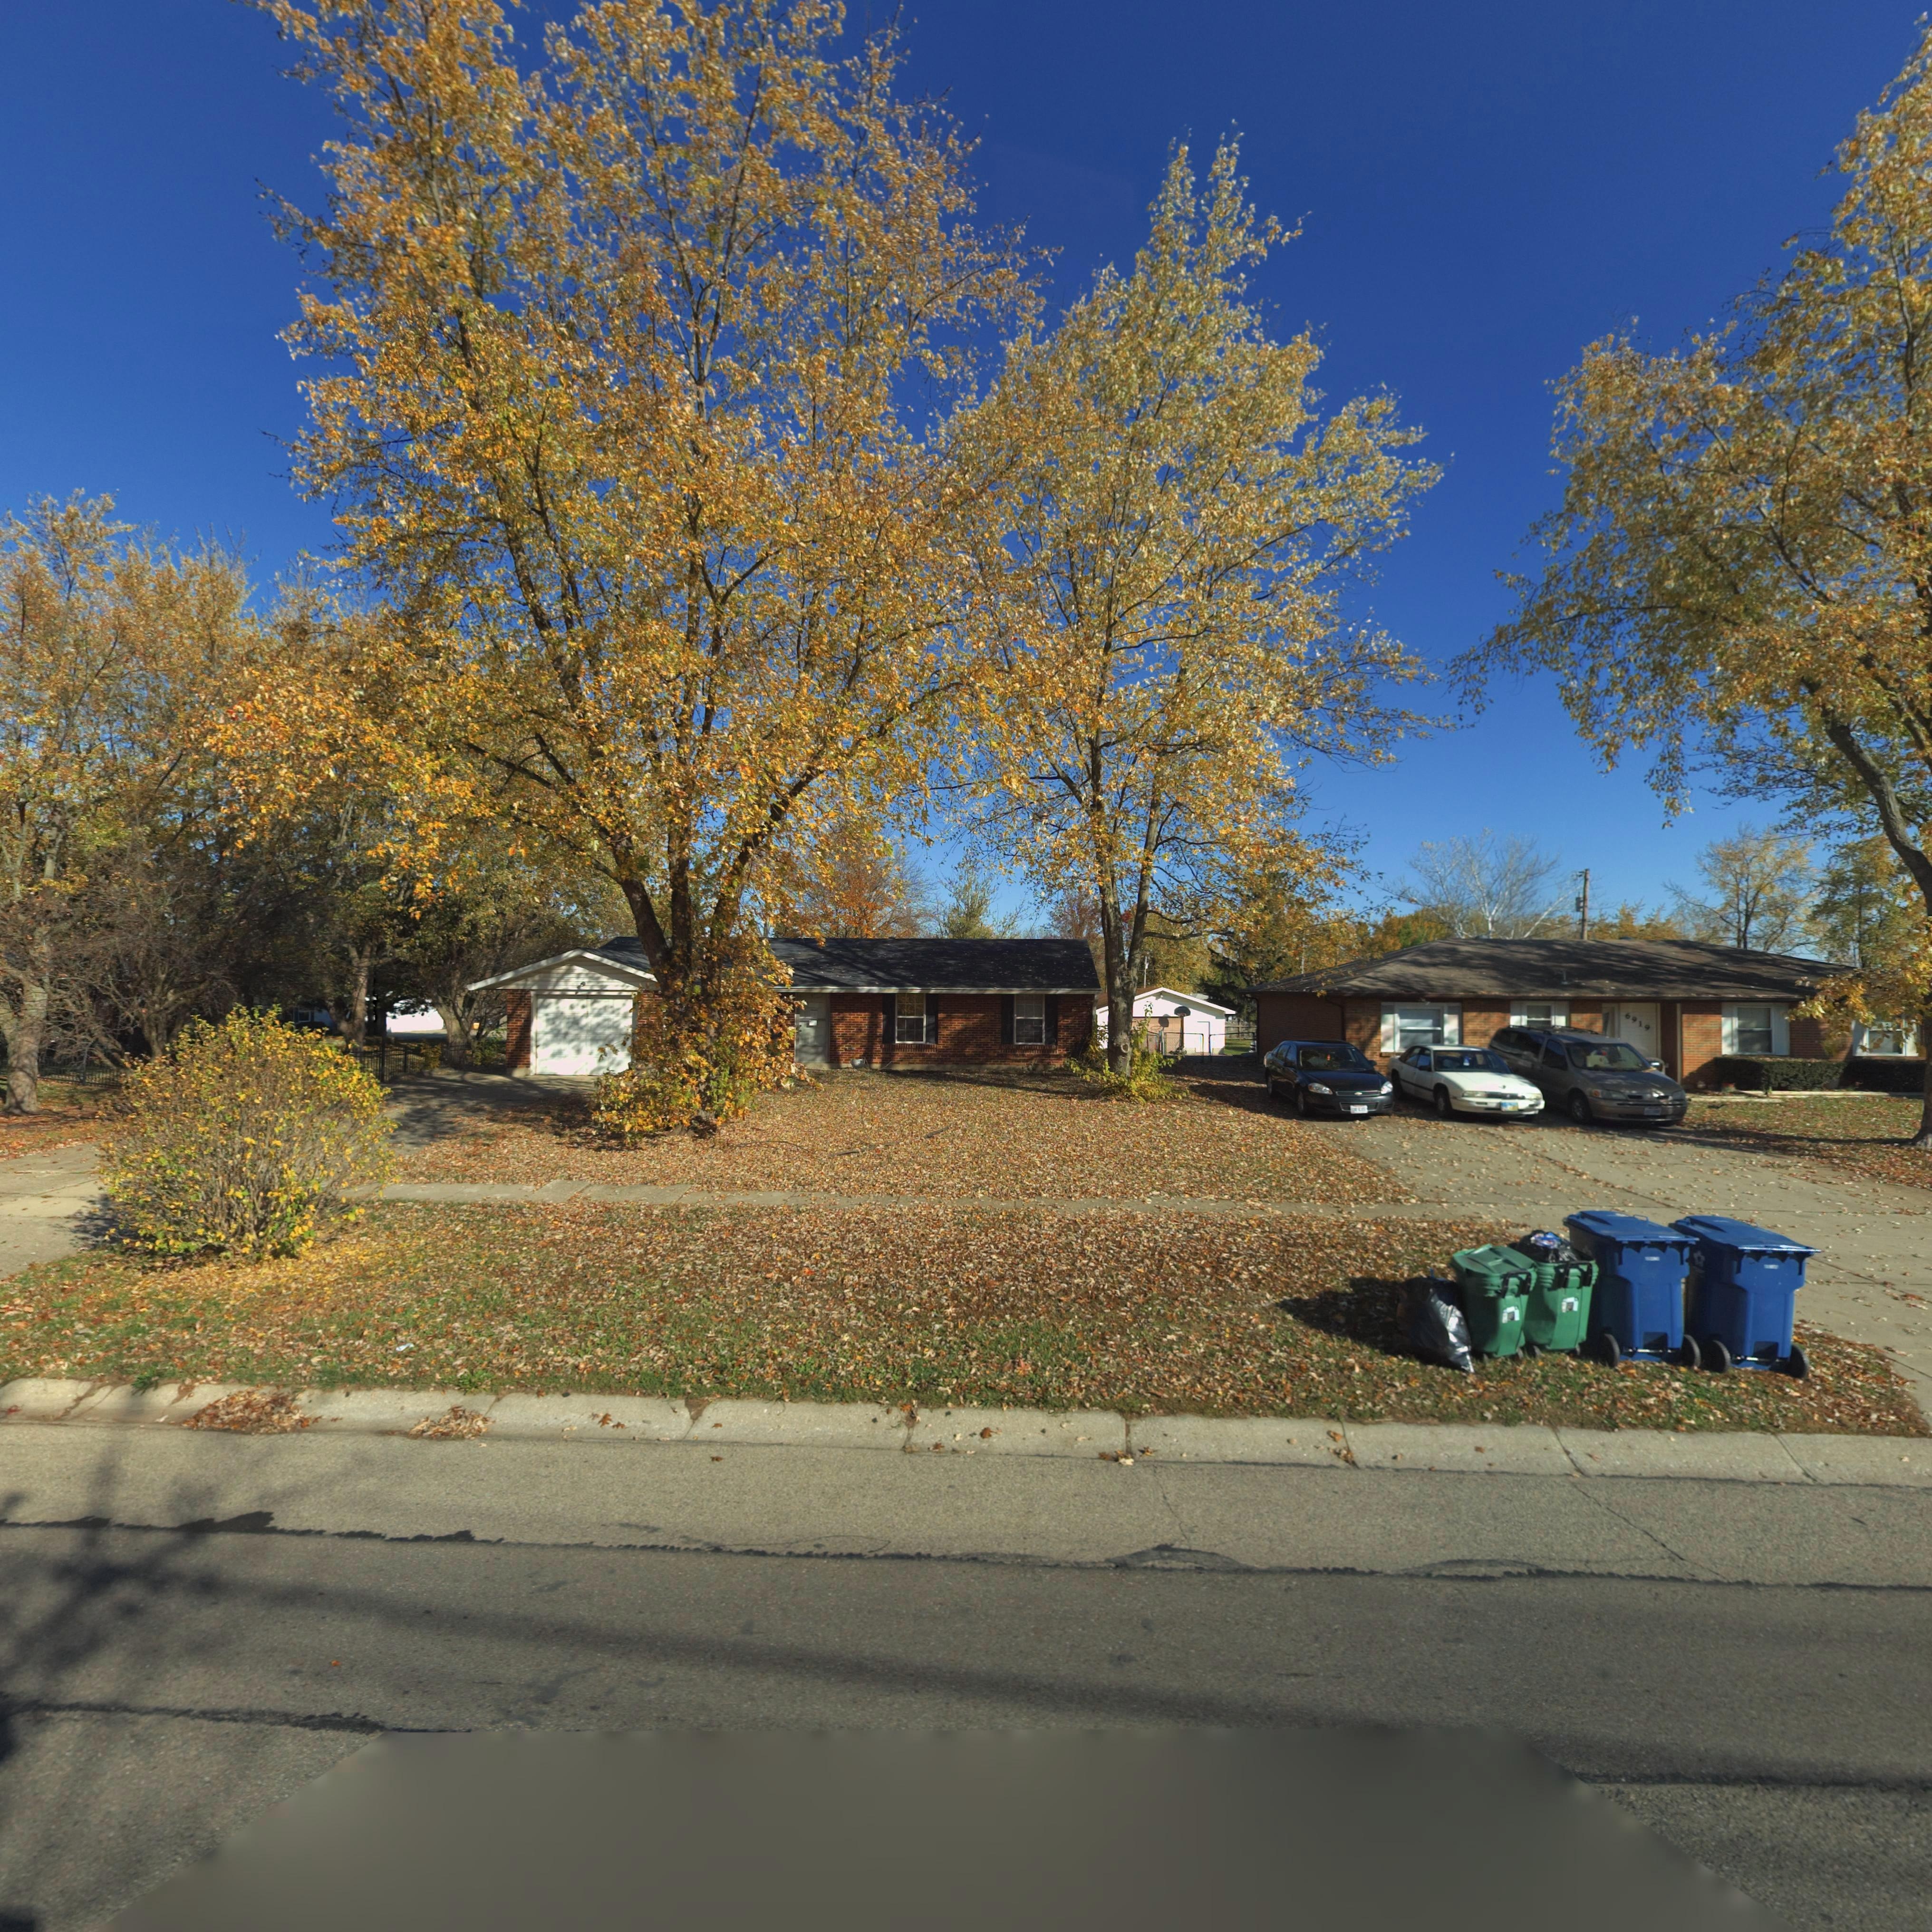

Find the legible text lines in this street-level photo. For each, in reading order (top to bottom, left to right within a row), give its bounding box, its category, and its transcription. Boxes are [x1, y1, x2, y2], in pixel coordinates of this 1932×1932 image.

[1624, 1011, 1652, 1033] StreetNumber: 6919